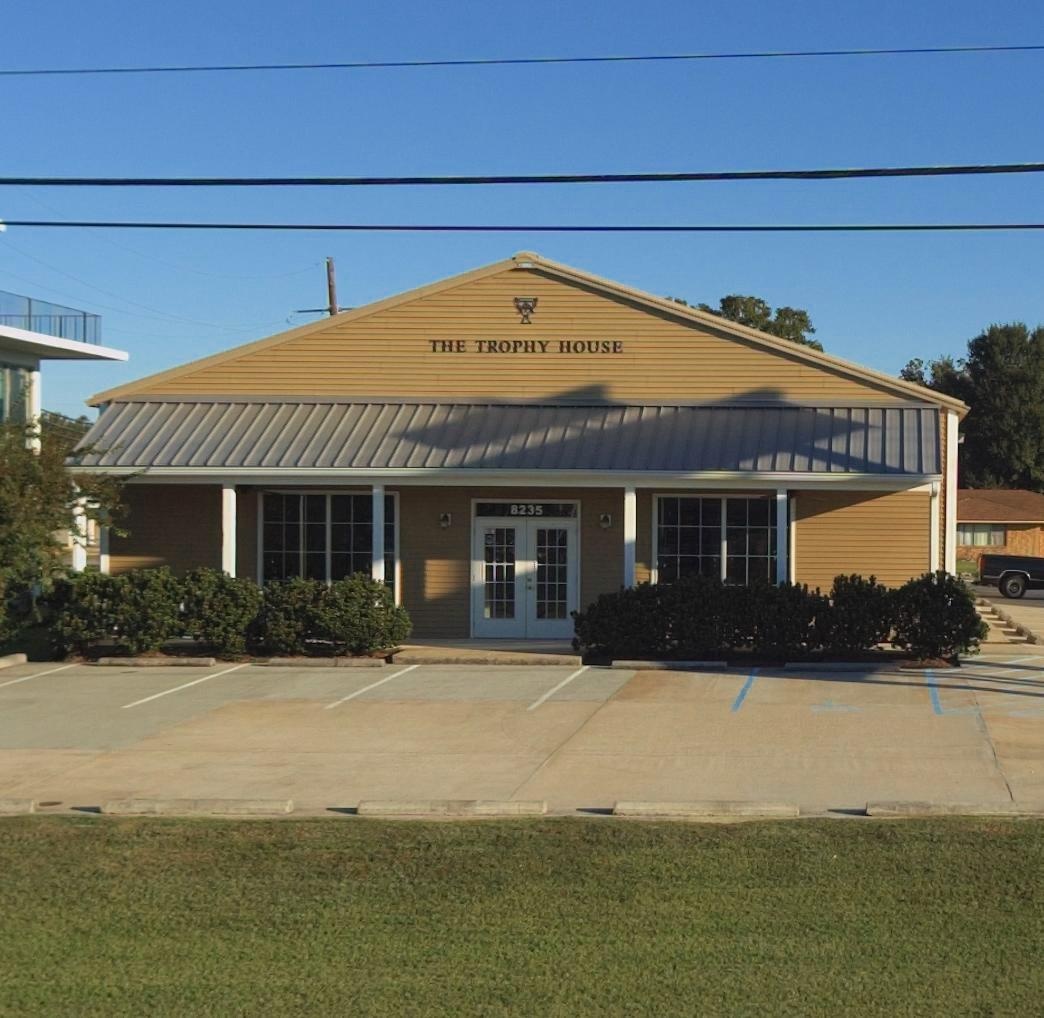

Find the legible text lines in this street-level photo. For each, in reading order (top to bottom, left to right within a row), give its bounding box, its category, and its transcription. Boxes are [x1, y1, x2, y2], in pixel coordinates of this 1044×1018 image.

[426, 337, 625, 356] BusinessName: THE TROPHY HOUSE
[509, 503, 544, 517] StreetNumber: 8235